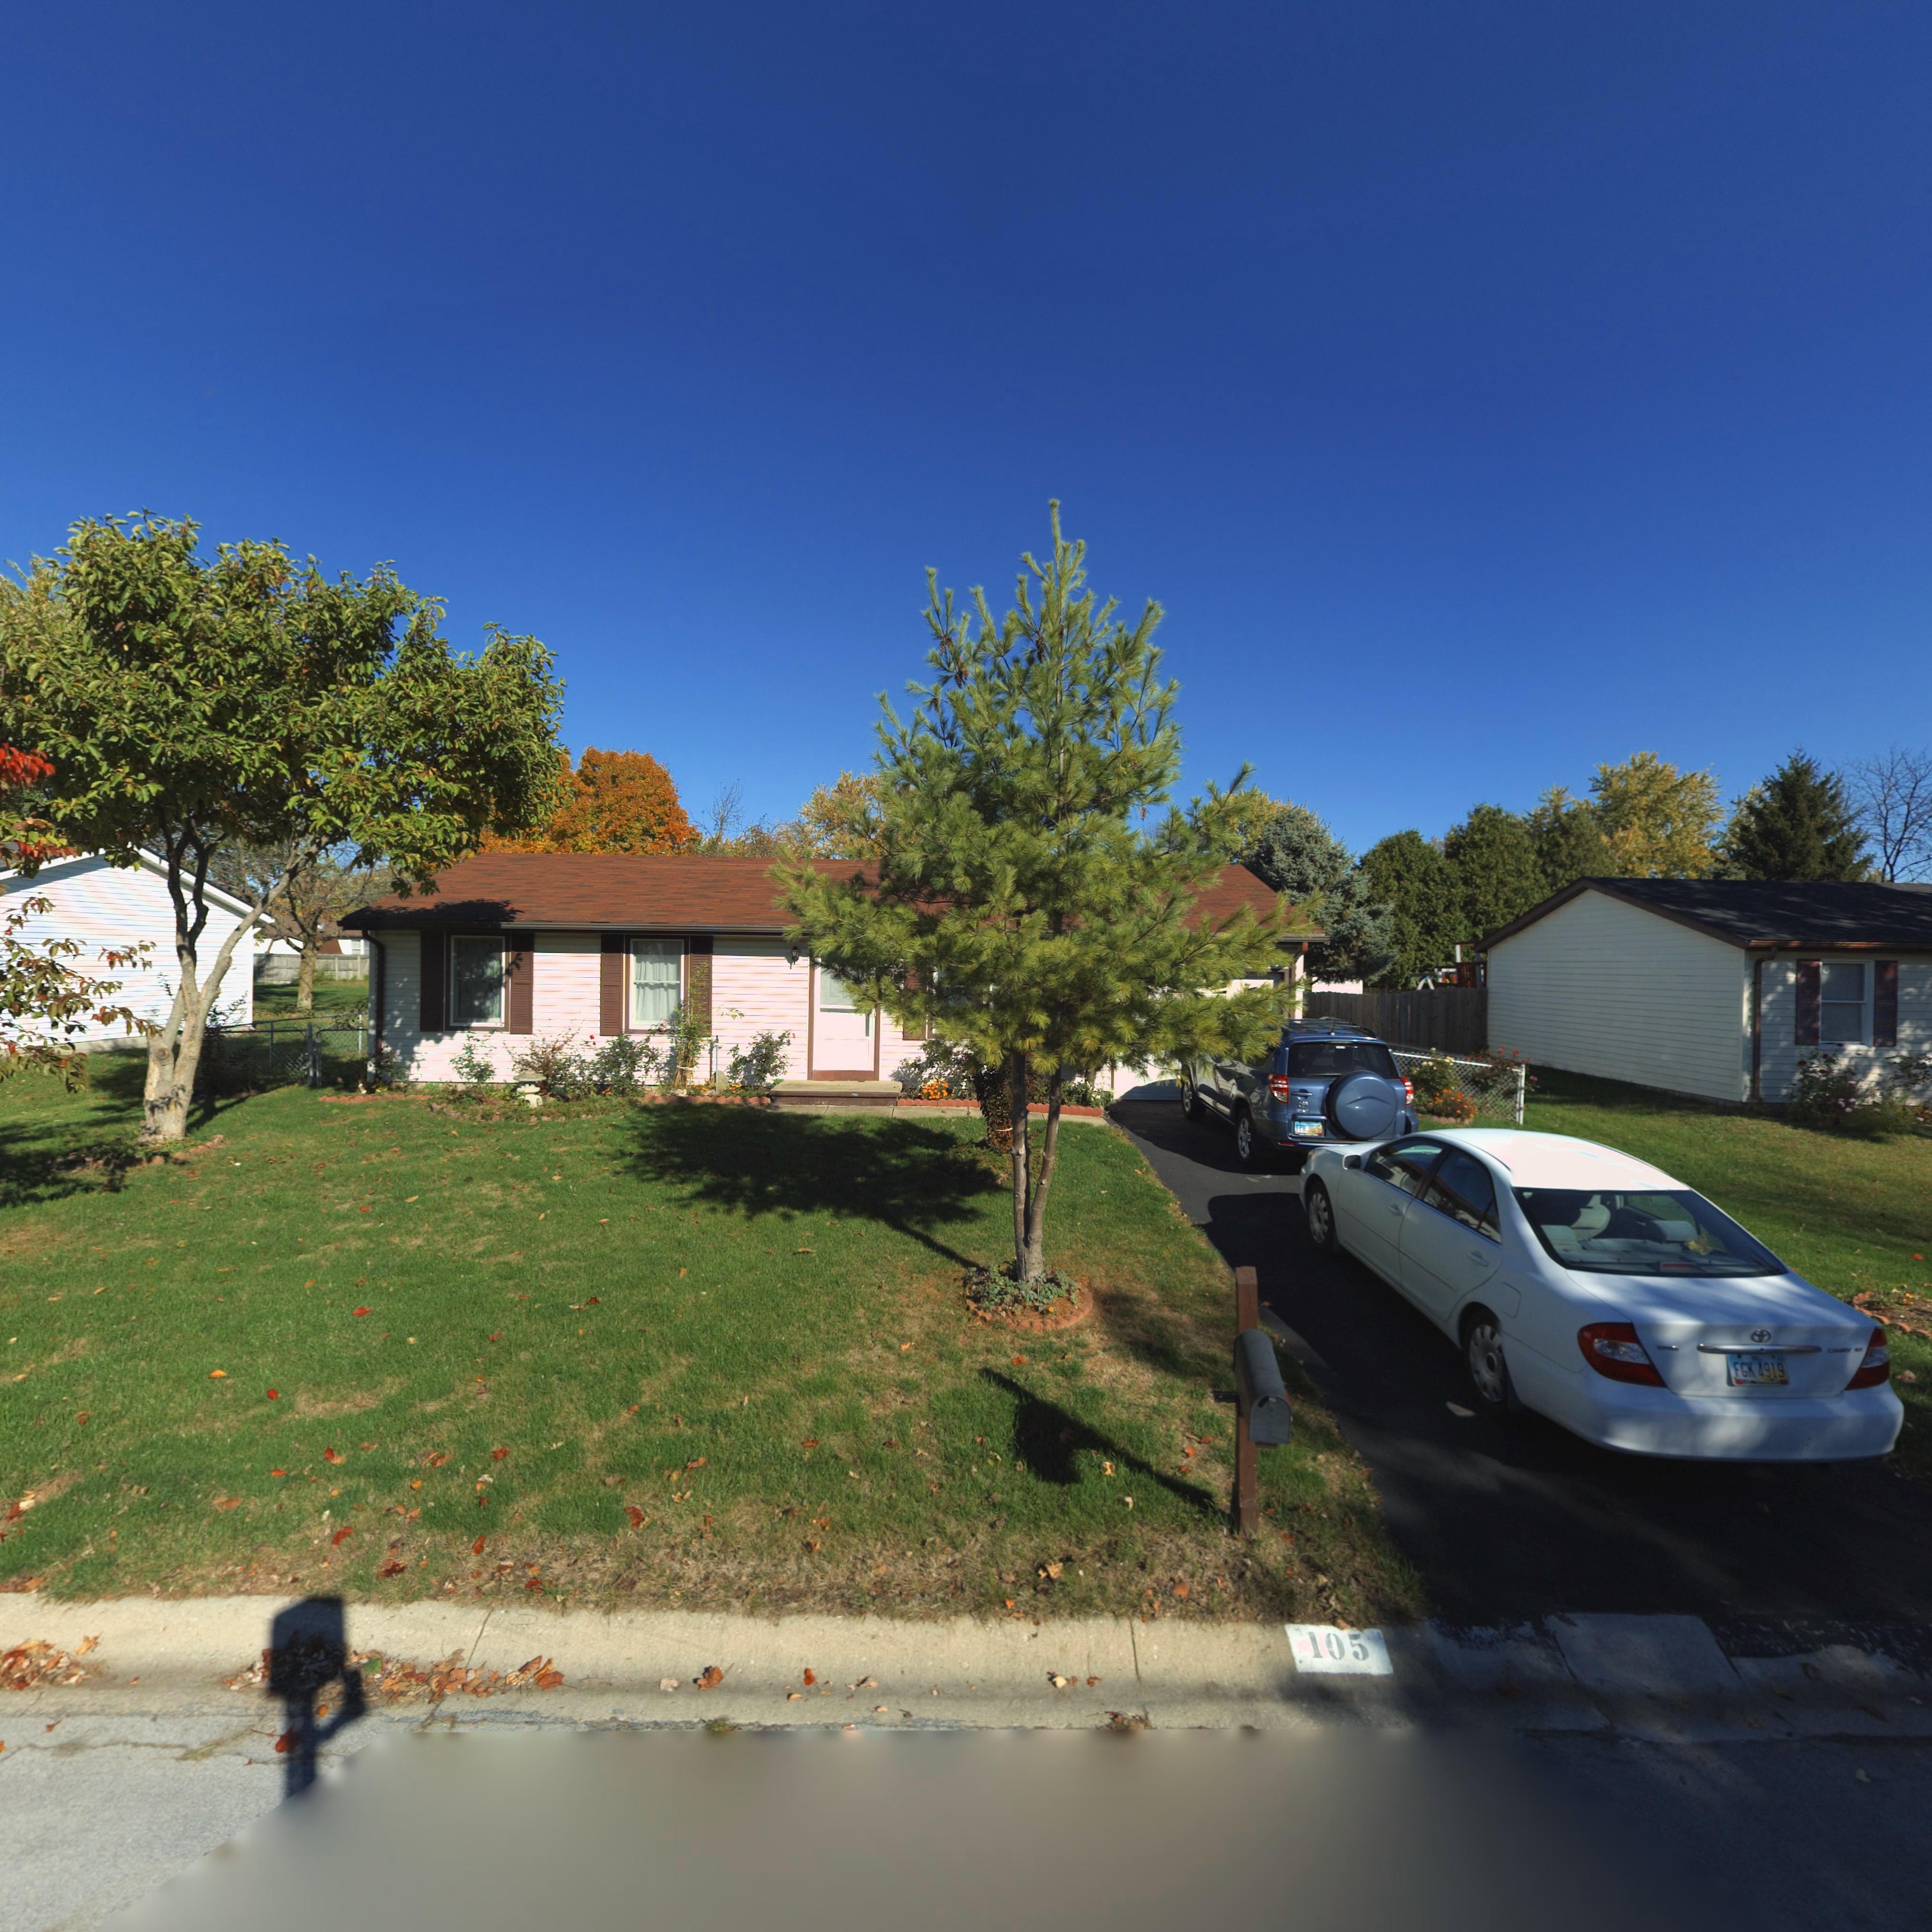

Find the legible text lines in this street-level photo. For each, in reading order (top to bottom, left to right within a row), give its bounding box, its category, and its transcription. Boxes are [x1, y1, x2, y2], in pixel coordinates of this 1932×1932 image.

[1305, 1630, 1372, 1662] StreetNumber: 105